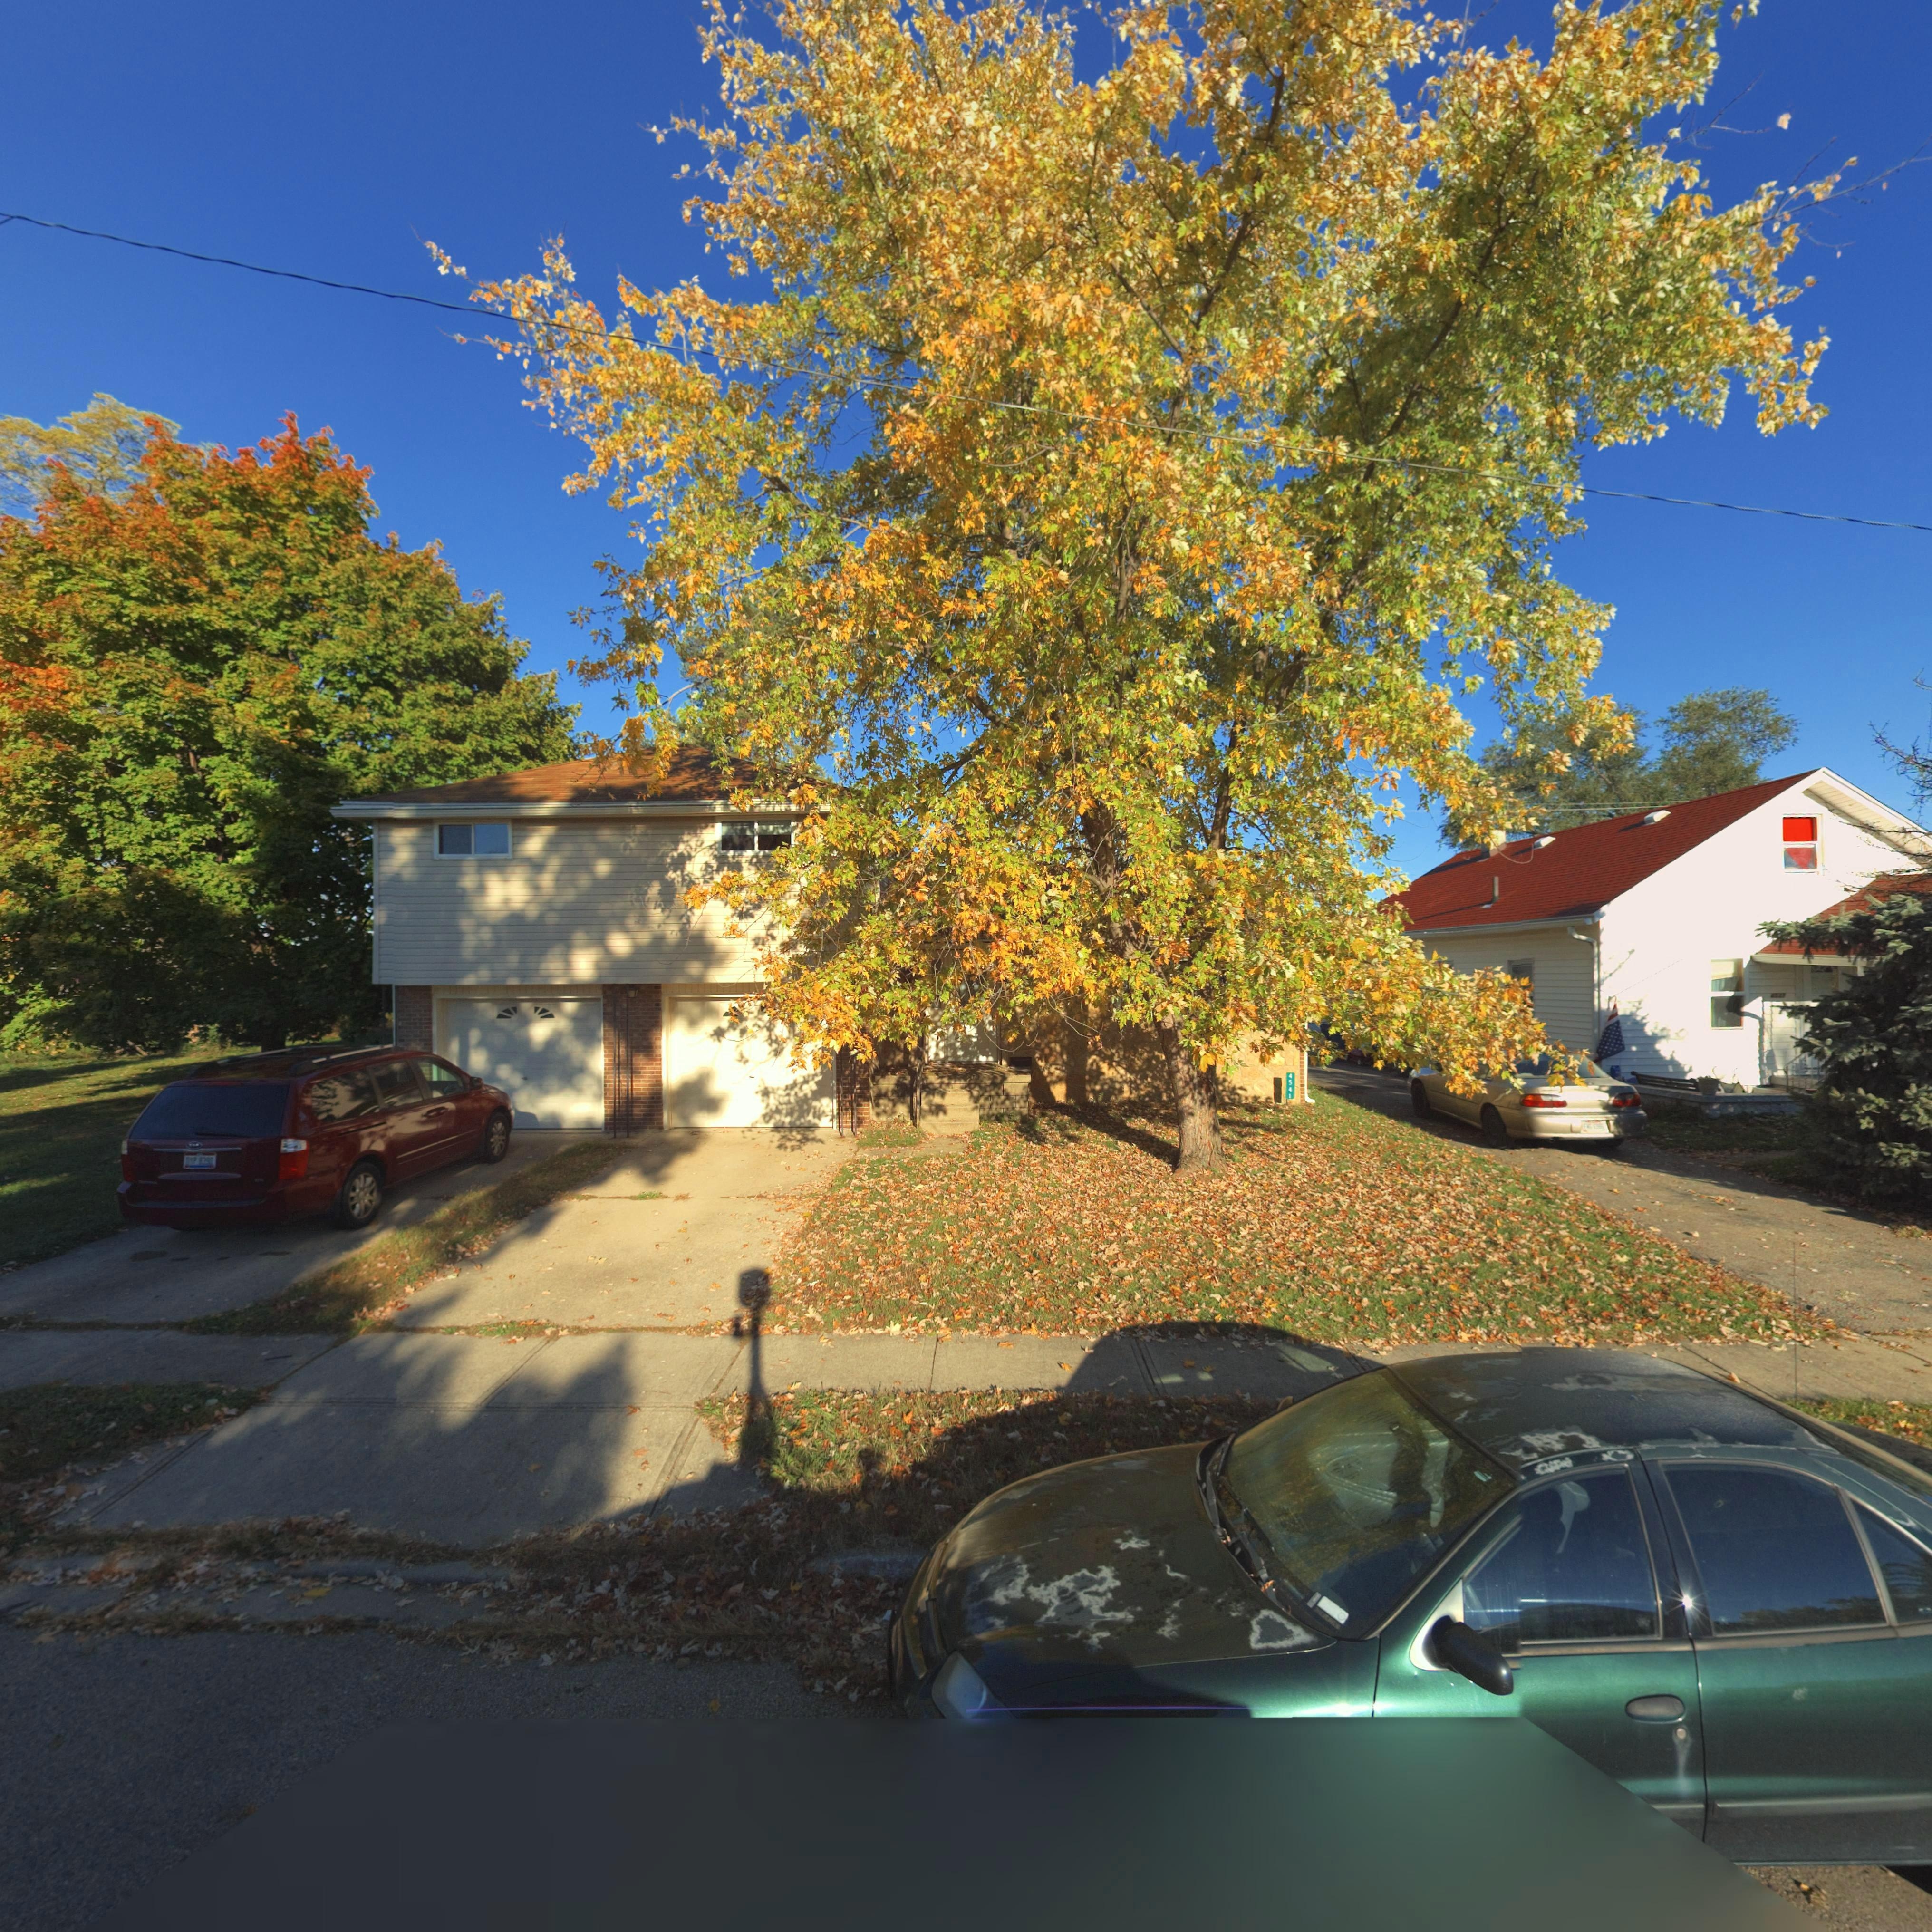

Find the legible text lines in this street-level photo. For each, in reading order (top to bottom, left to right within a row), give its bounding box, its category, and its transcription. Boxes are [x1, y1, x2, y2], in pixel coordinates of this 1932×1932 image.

[1287, 1072, 1293, 1099] StreetNumber: 4541